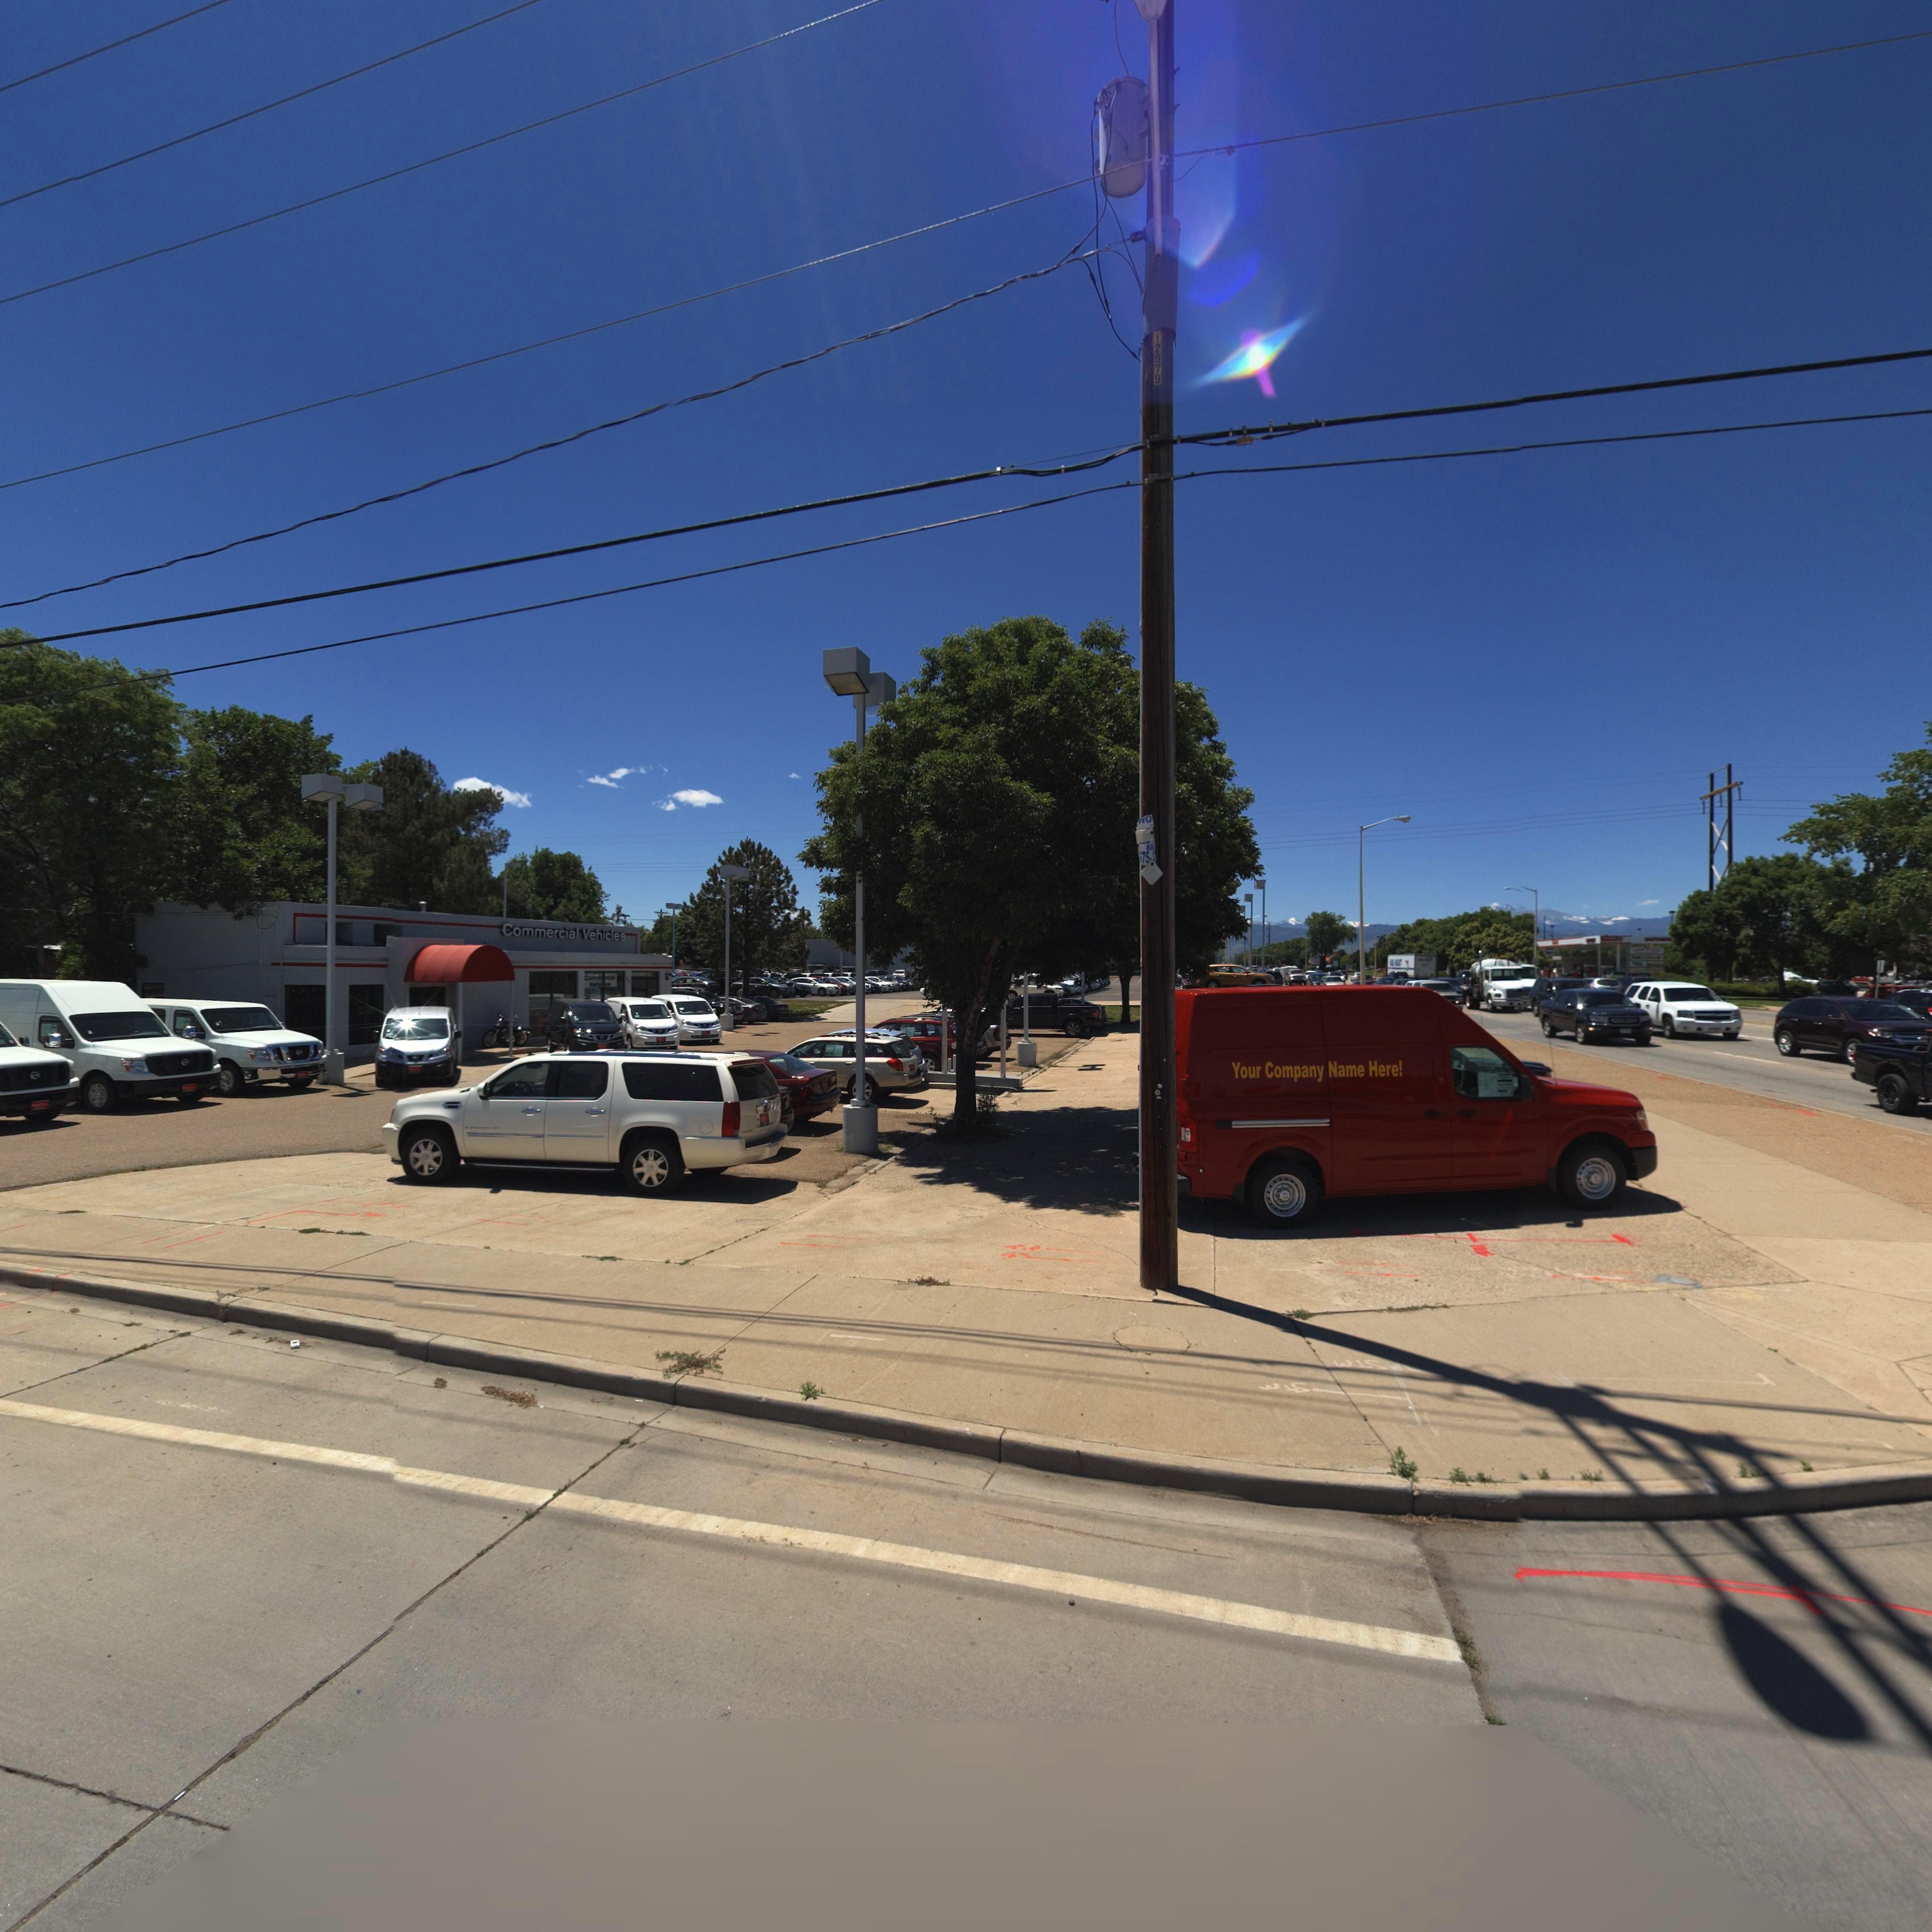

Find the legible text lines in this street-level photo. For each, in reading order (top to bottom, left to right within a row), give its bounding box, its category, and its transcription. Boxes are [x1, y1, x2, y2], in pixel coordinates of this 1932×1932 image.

[500, 922, 626, 941] BusinessName: Commercial Vehicles
[583, 974, 616, 981] BusinessName: Comm**cial
[588, 981, 610, 988] BusinessName: Vehi**es